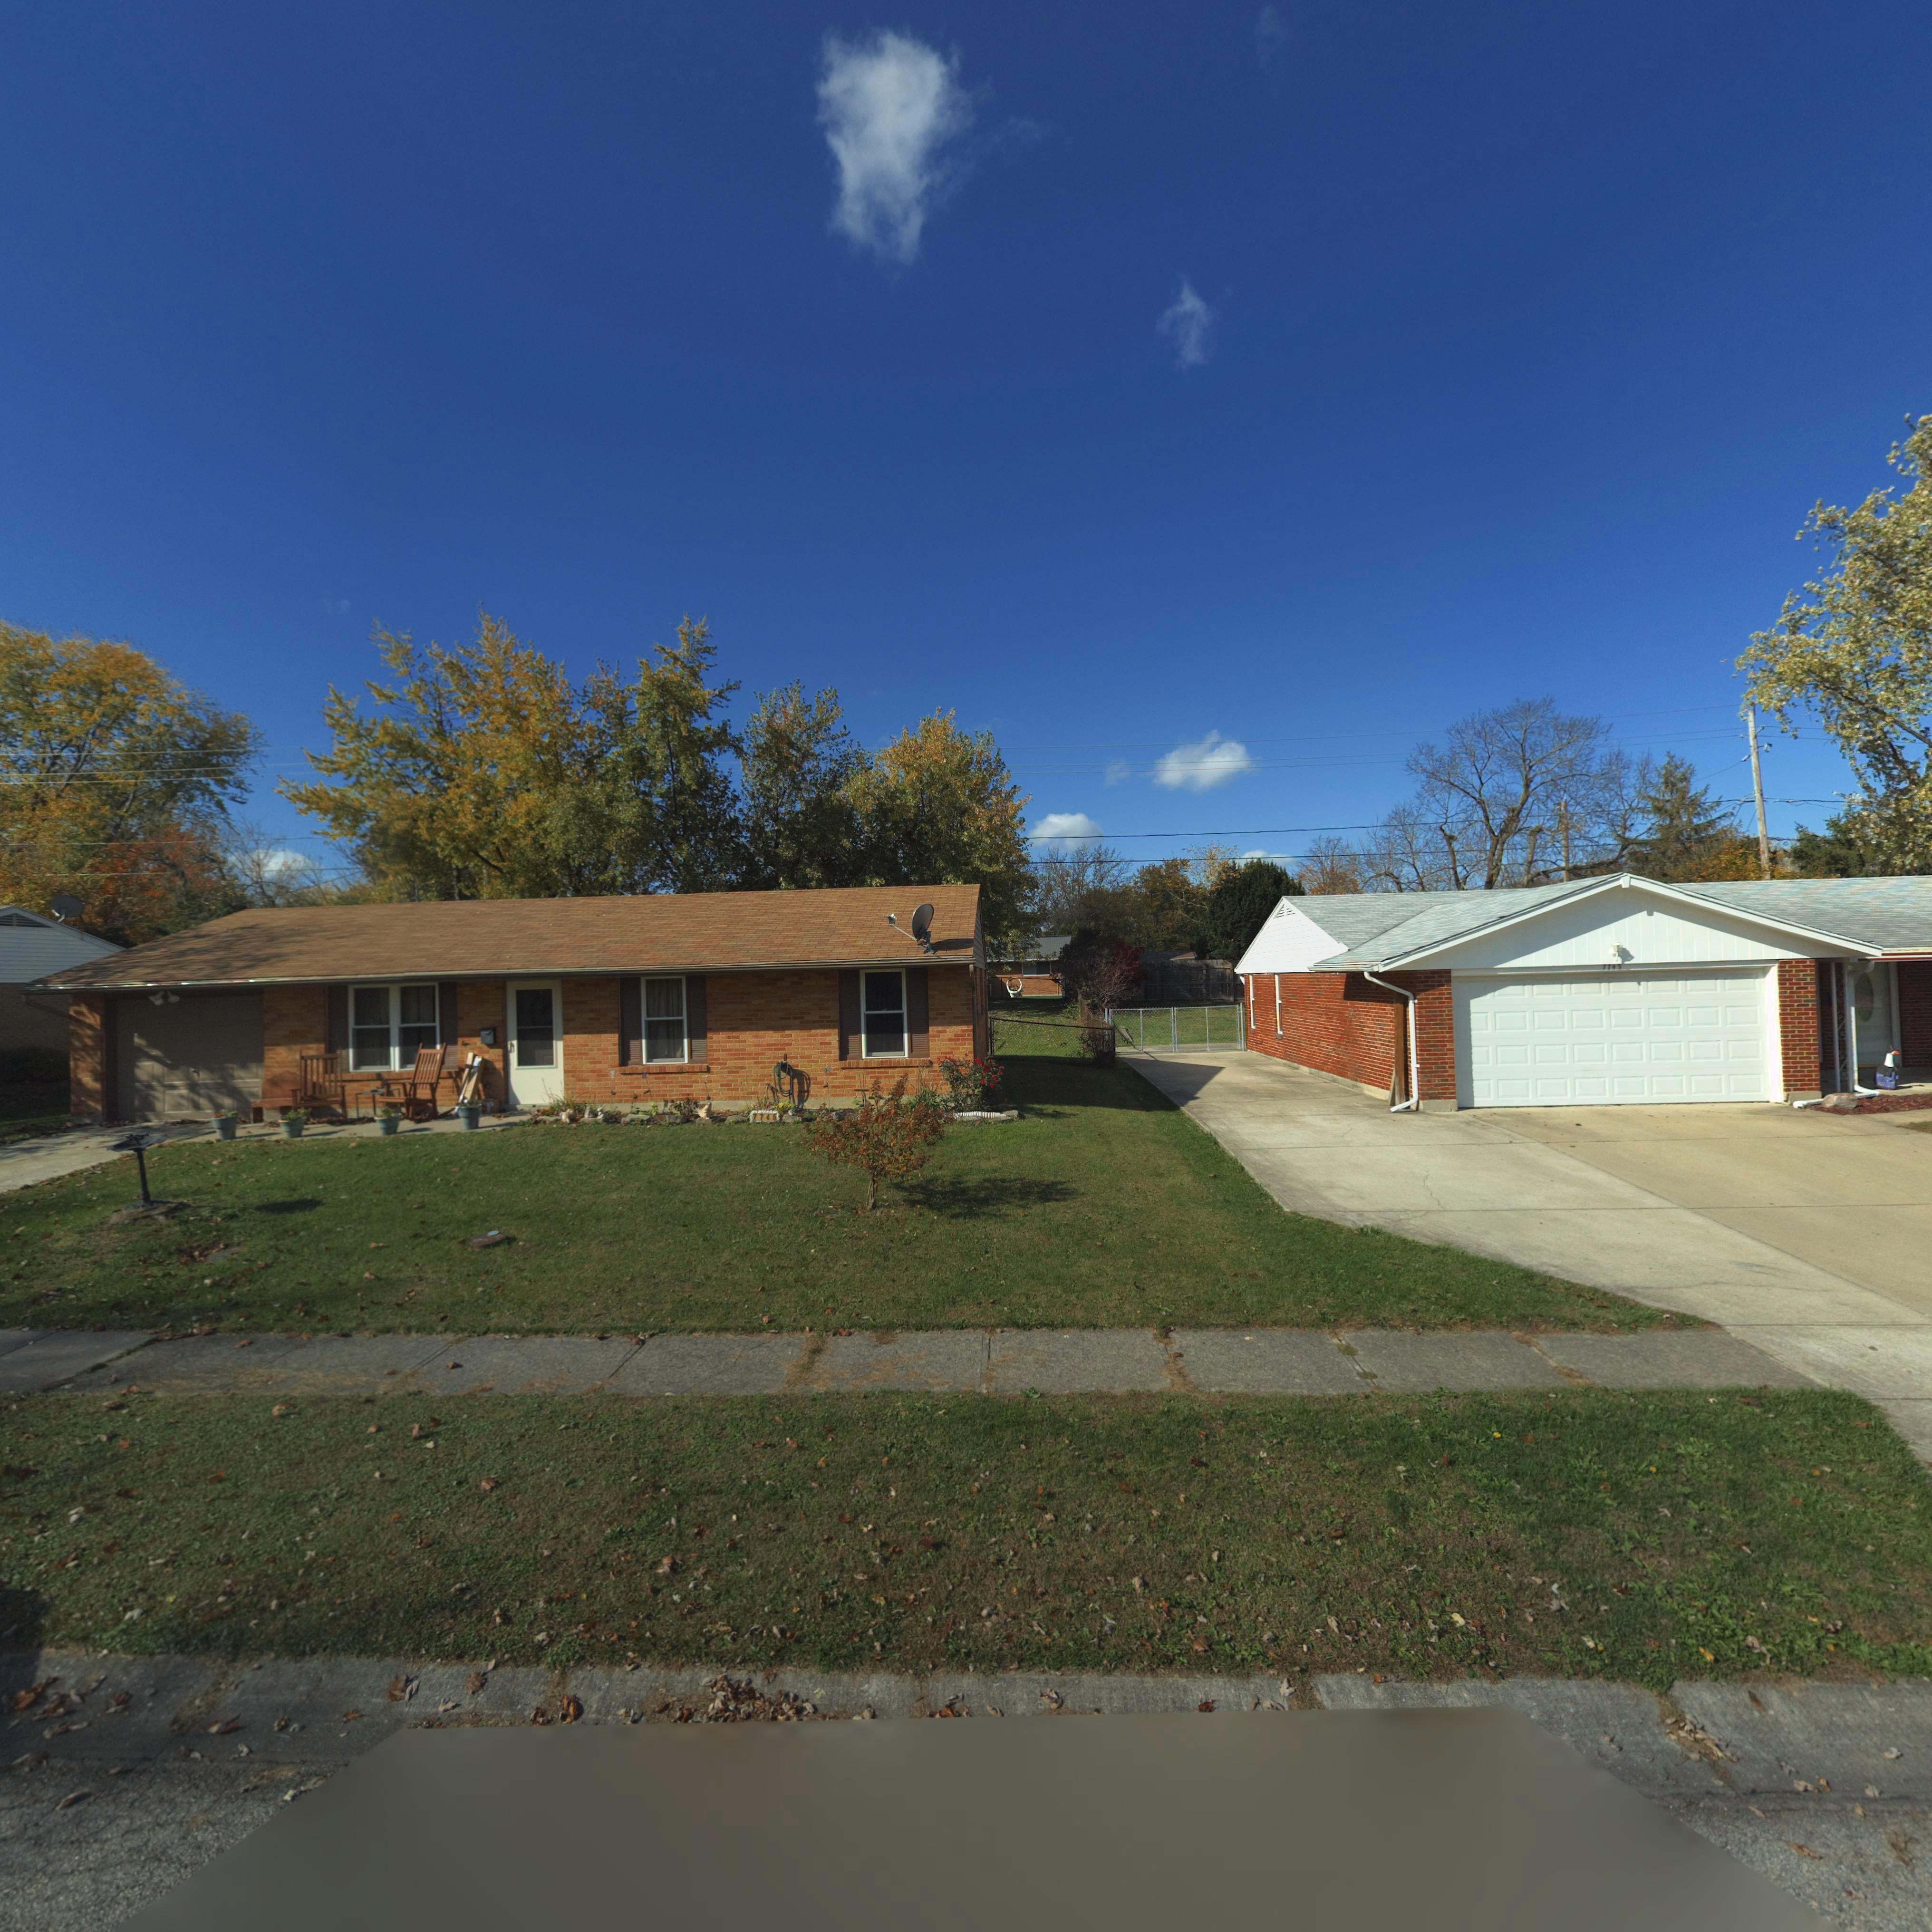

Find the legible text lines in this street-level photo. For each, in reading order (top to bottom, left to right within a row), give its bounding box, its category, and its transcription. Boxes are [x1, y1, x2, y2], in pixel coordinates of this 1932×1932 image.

[1602, 963, 1623, 971] StreetNumber: 7749
[752, 1113, 777, 1122] StreetNumber: 7745